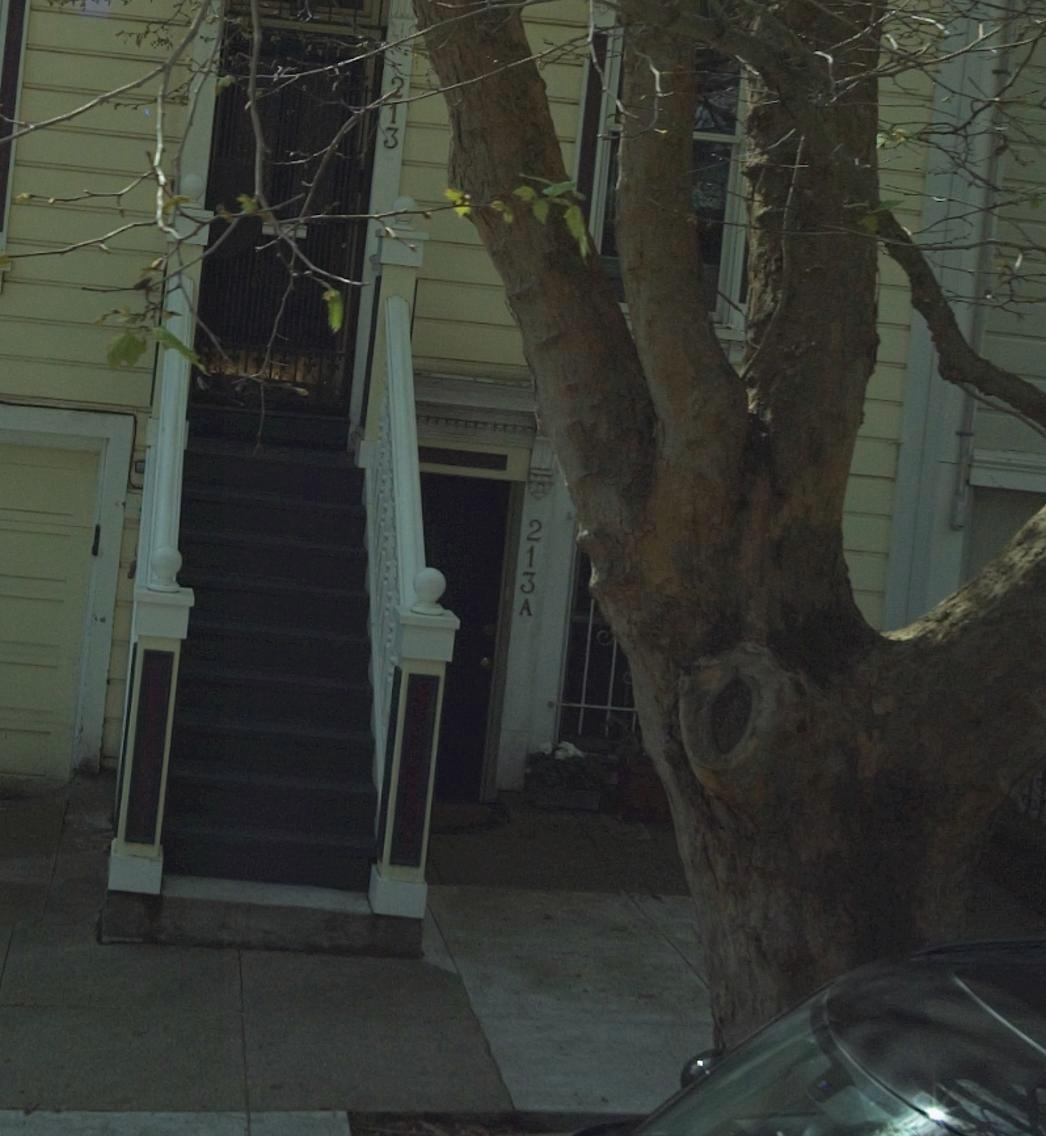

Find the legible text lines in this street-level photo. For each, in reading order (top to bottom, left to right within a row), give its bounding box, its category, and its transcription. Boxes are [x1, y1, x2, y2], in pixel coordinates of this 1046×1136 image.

[380, 72, 409, 153] StreetNumber: 213
[514, 516, 546, 619] StreetNumber: 213A